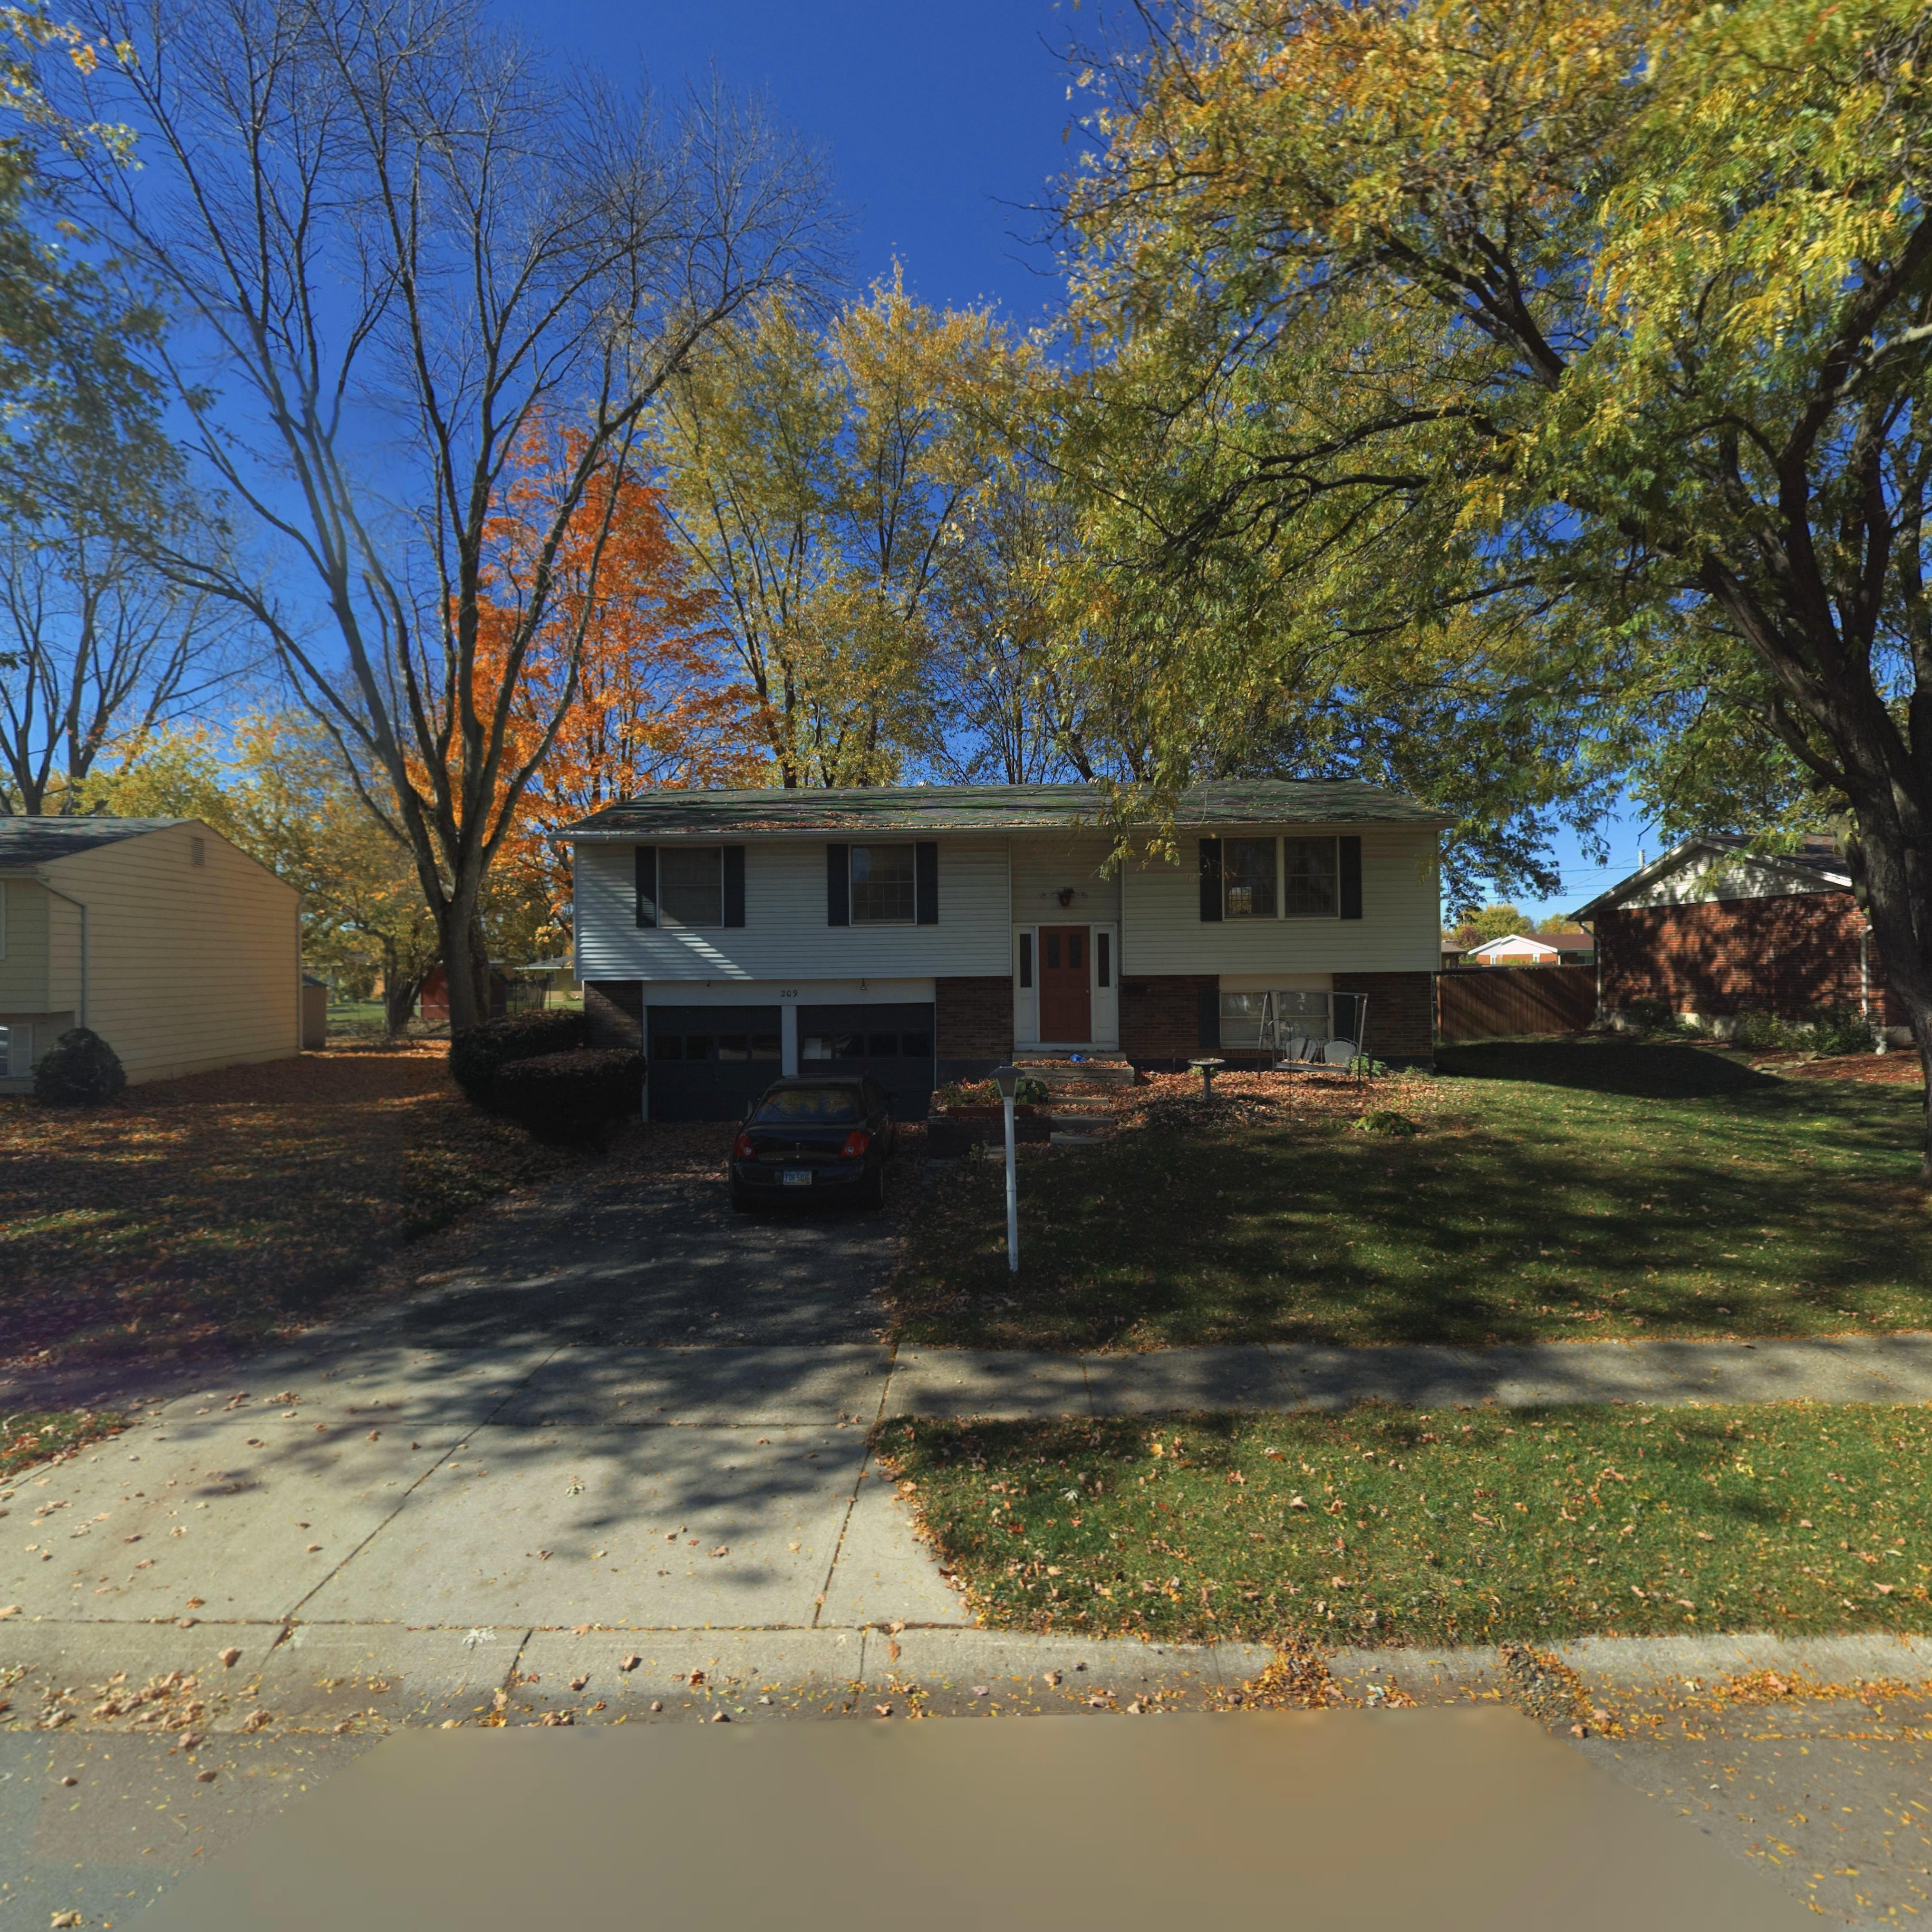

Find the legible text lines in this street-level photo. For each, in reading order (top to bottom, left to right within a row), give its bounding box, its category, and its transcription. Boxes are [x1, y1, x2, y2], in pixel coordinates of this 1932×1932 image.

[780, 989, 799, 998] StreetNumber: 209